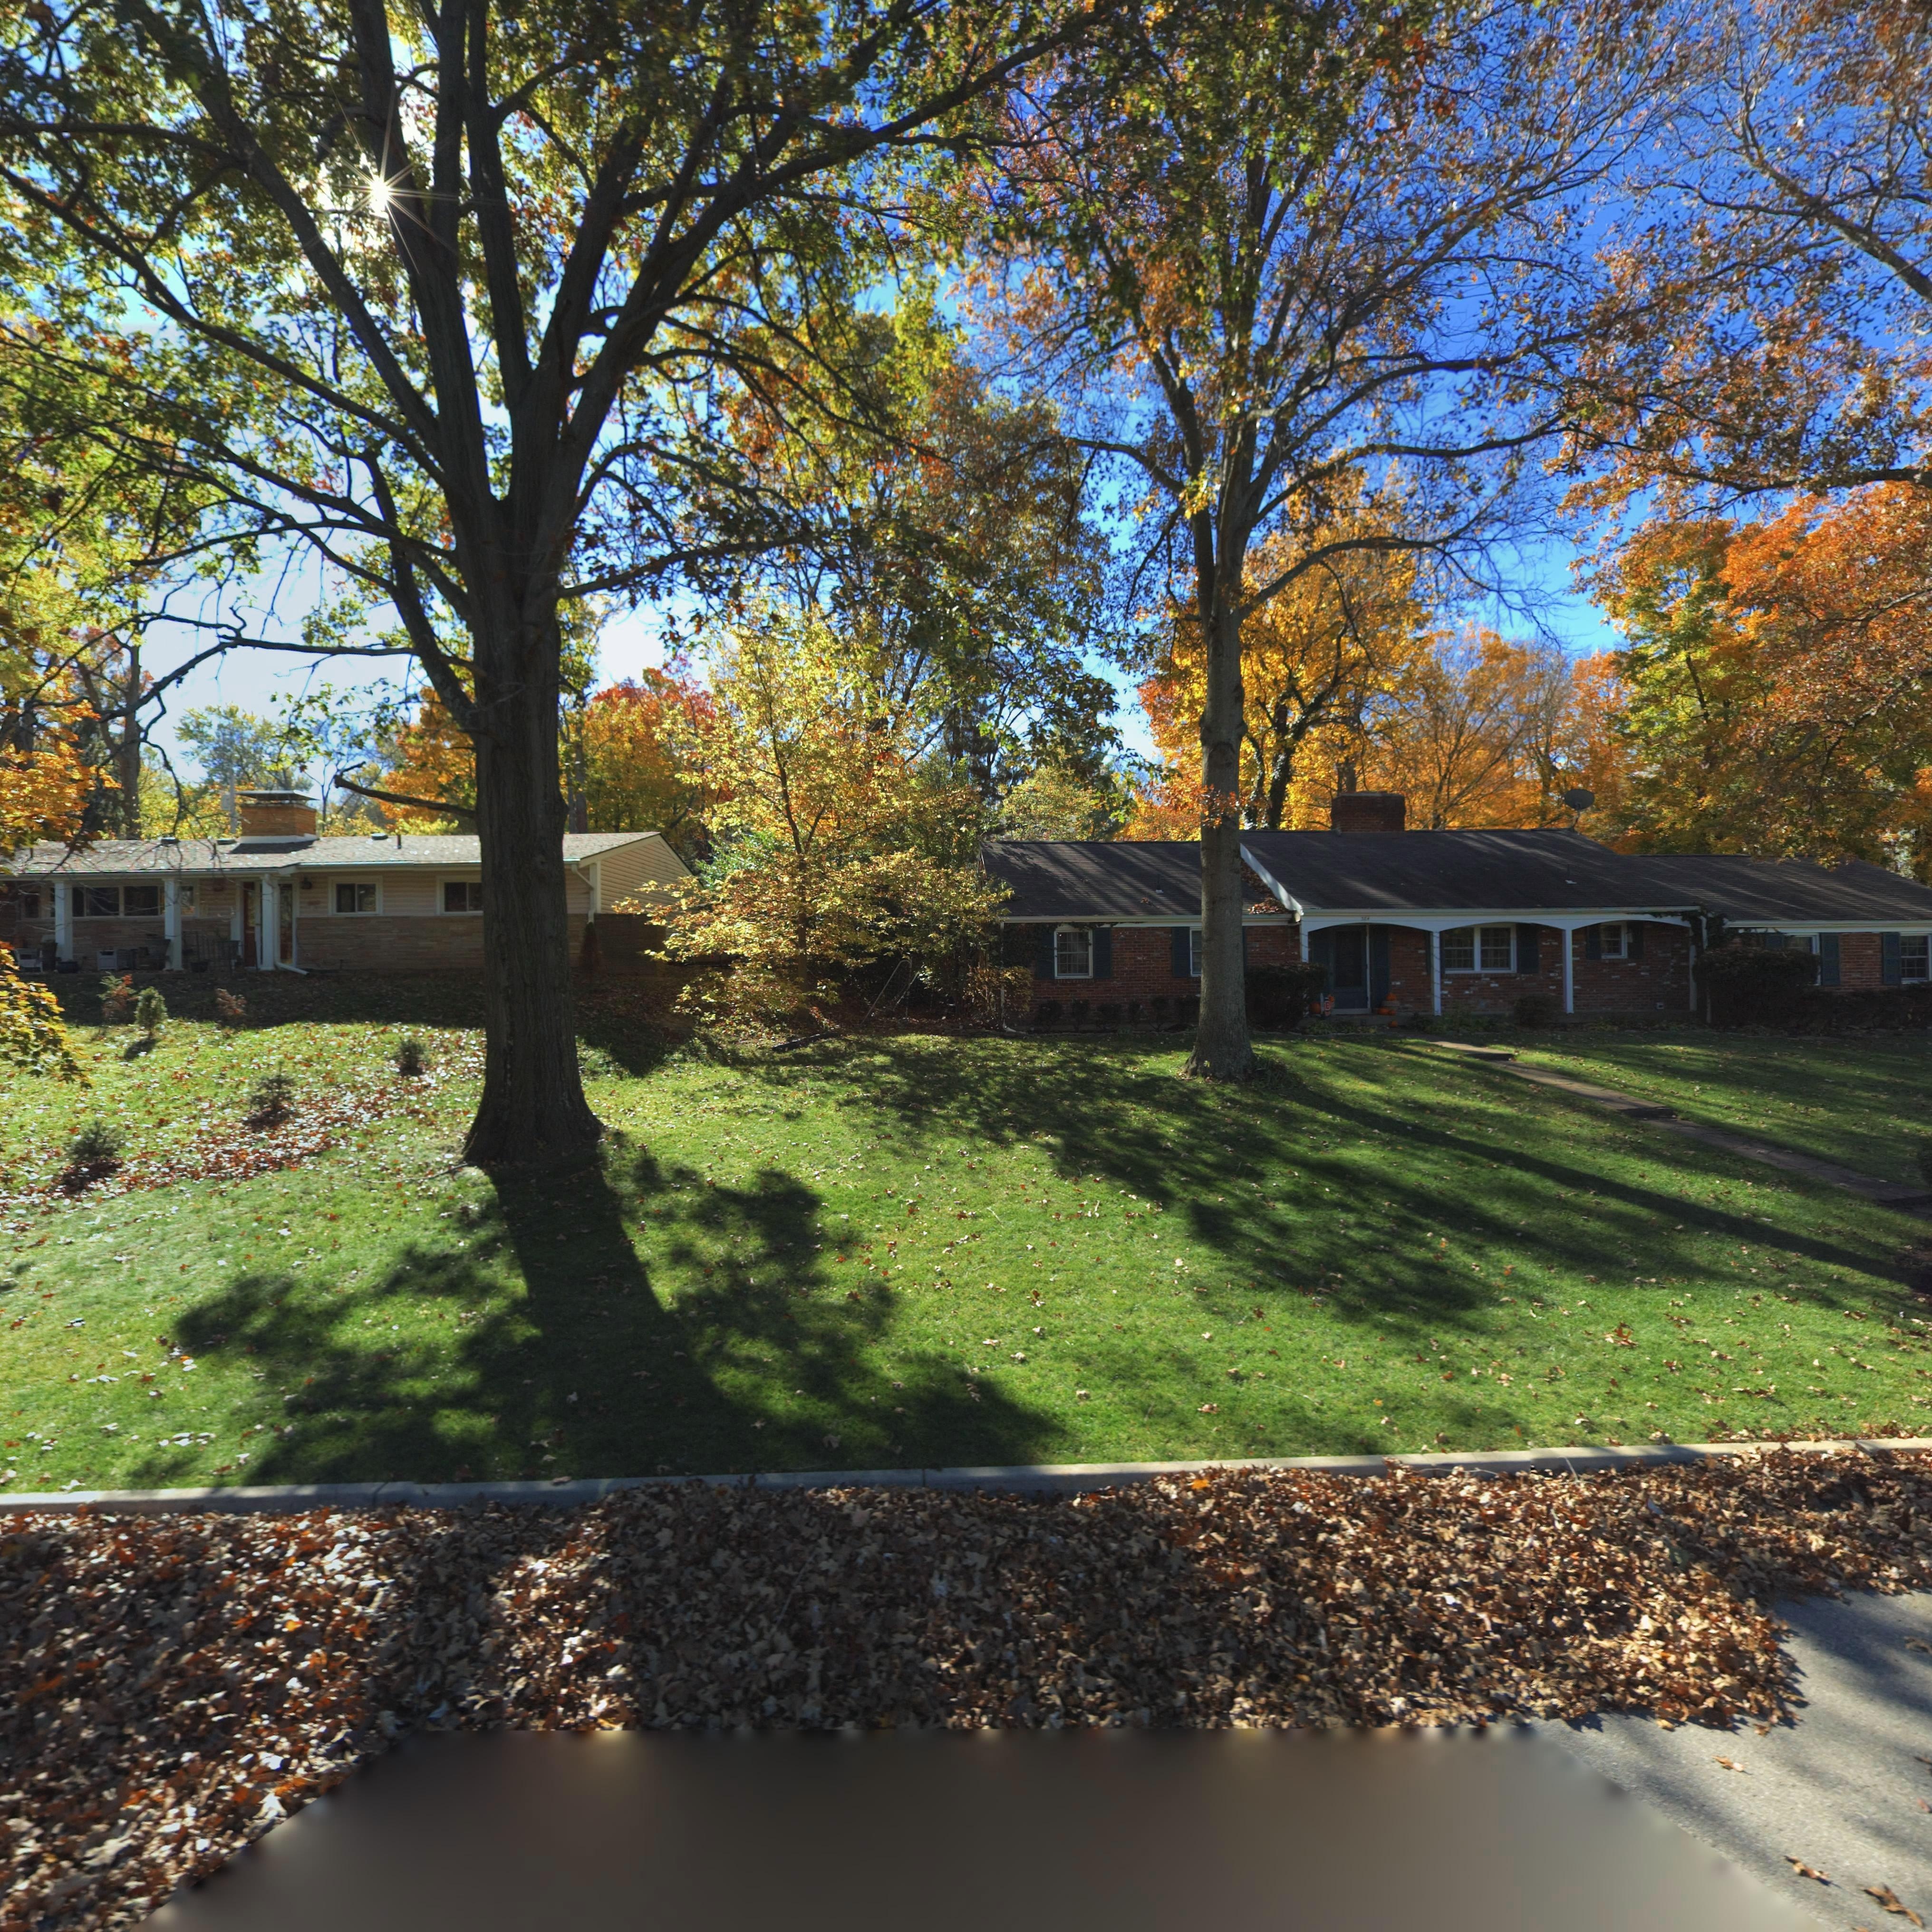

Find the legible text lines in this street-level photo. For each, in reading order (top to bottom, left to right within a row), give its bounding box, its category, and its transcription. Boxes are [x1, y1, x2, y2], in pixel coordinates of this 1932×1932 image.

[1360, 916, 1370, 921] StreetNumber: 3*4